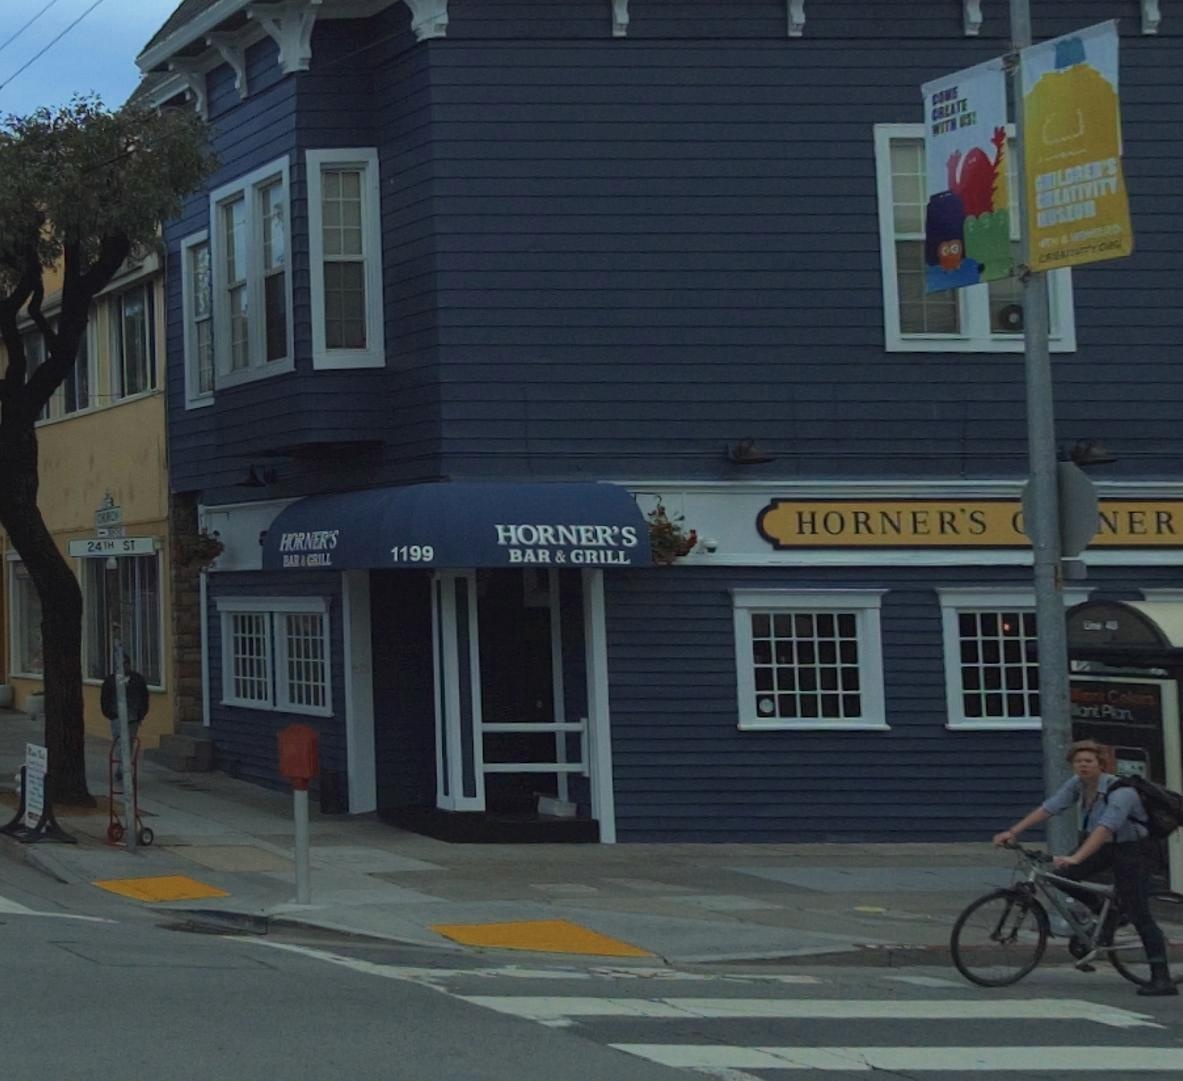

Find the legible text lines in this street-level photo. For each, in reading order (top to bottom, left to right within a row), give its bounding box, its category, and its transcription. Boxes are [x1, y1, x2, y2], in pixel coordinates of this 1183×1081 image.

[930, 84, 959, 108] None: COME
[929, 97, 969, 124] None: CREATE
[930, 110, 978, 140] None: WITH US!
[1032, 155, 1120, 195] None: CHILDREN'S
[1033, 173, 1120, 212] None: CREATIVITY
[1035, 198, 1099, 231] None: MUSEUM
[95, 508, 120, 524] StreetName: CH**CH
[795, 508, 1180, 537] BusinessName: HORNER'S *NER
[86, 539, 137, 554] StreetName: 24TH ST
[281, 552, 333, 569] None: BAR & GRILL
[277, 528, 341, 553] BusinessName: HORNER'S
[389, 542, 436, 564] StreetNumber: 1199
[494, 522, 641, 549] BusinessName: HORNER'S
[506, 545, 632, 567] BusinessName: BAR & GRILL
[1082, 686, 1157, 706] None: ant Colors
[1078, 702, 1136, 723] None: ant Plan